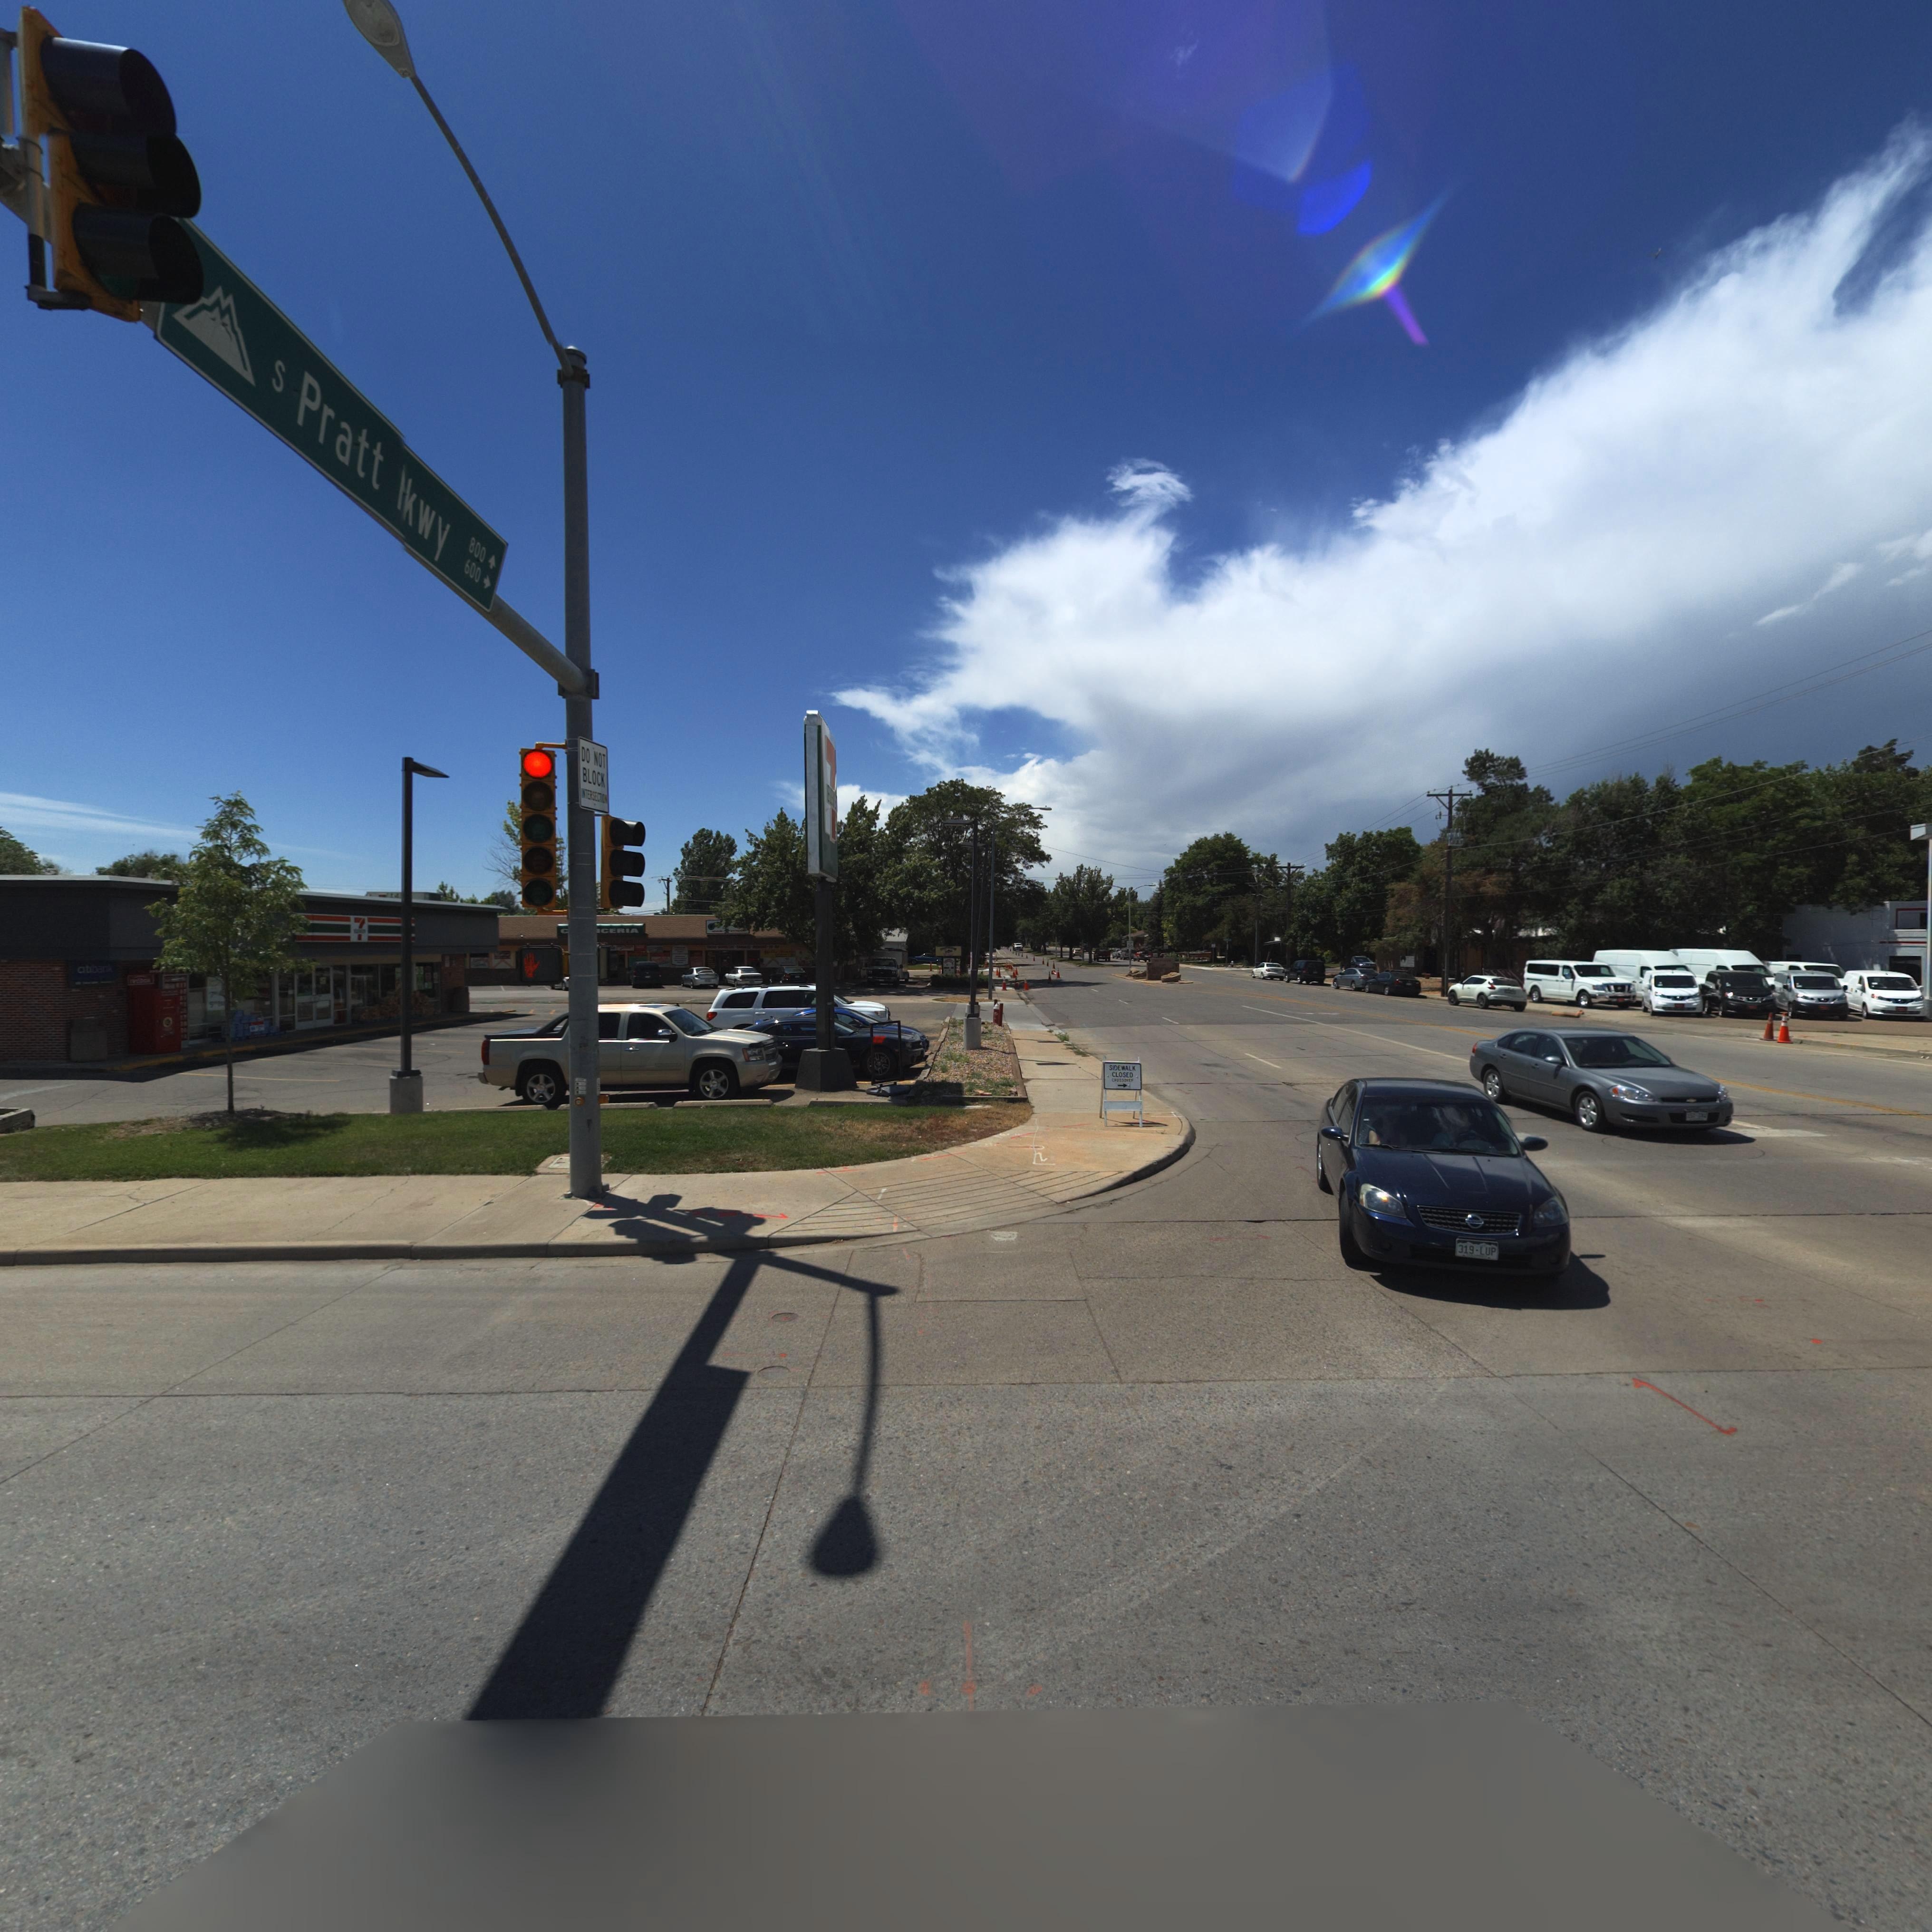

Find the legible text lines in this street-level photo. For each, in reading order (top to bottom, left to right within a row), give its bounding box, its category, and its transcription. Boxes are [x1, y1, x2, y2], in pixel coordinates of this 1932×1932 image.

[269, 357, 451, 564] StreetName: S Pratt *kwy
[468, 536, 486, 563] StreetNumberRange: 800
[463, 558, 491, 589] StreetNumberRange: 600 ->